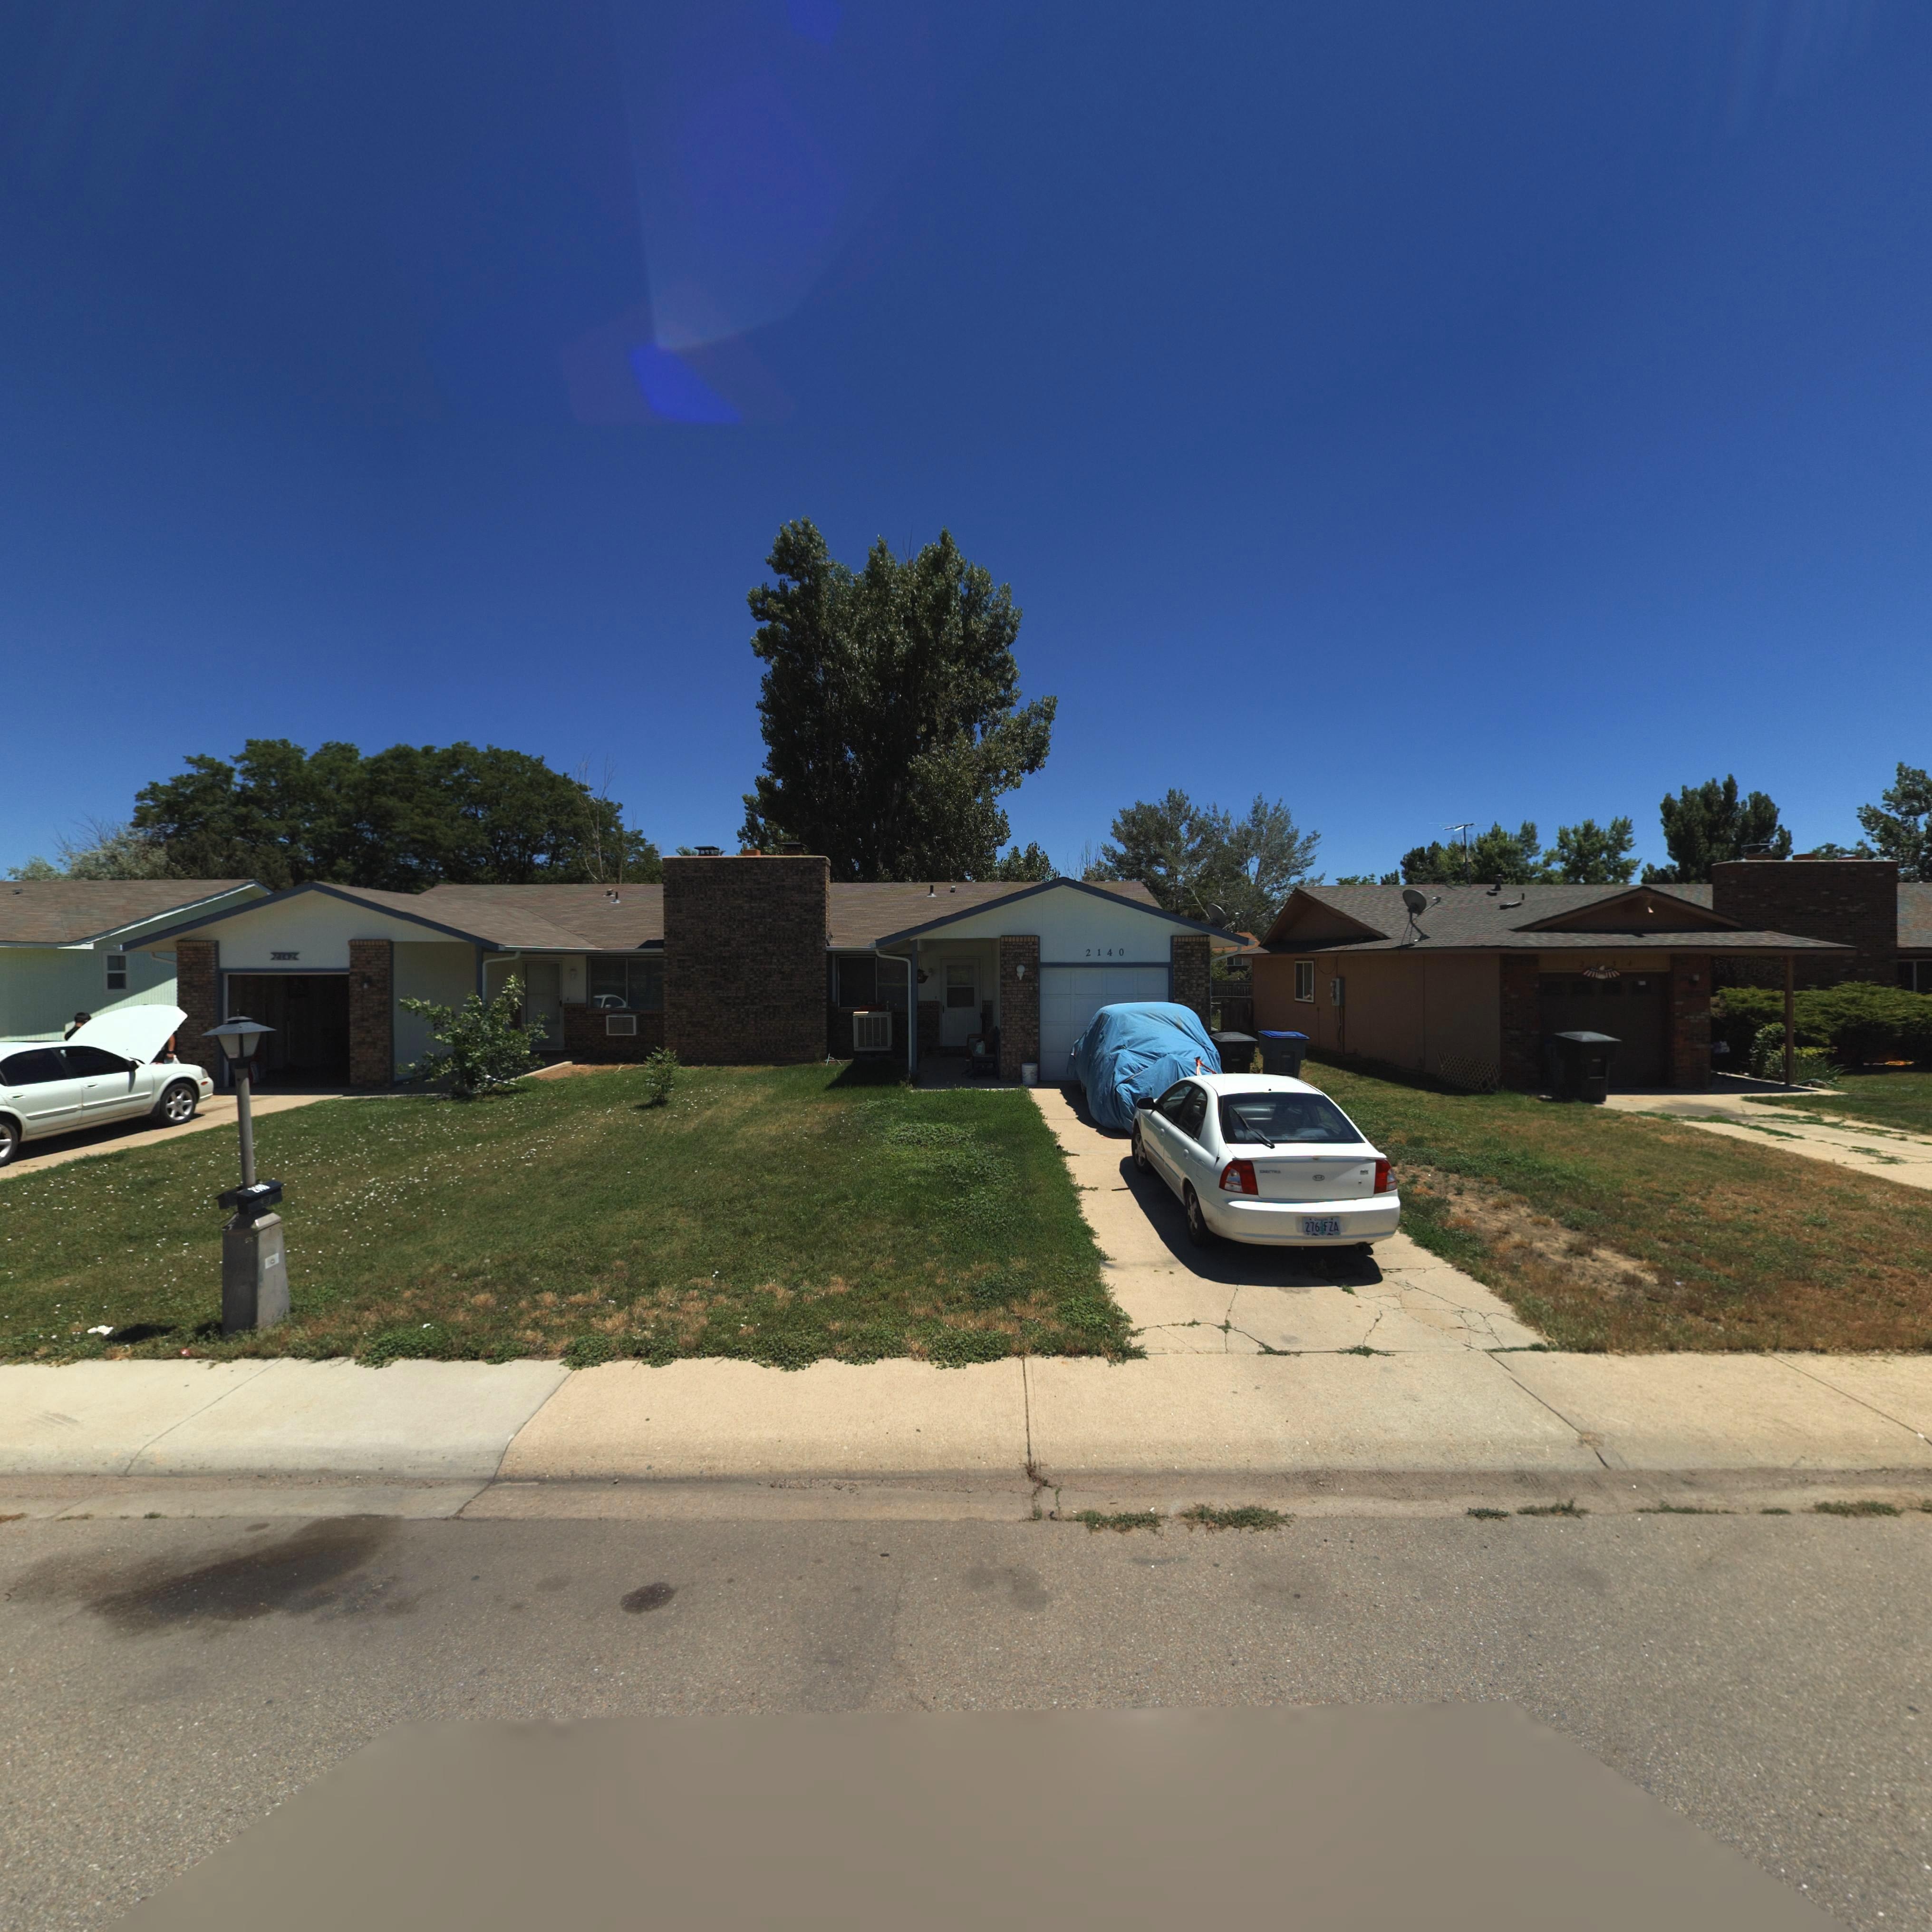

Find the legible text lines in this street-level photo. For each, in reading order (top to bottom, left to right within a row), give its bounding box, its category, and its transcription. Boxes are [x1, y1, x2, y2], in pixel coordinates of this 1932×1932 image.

[272, 953, 295, 960] StreetNumber: 2142
[1085, 947, 1125, 957] StreetNumber: 2140
[1578, 959, 1633, 968] StreetNumber: 2134